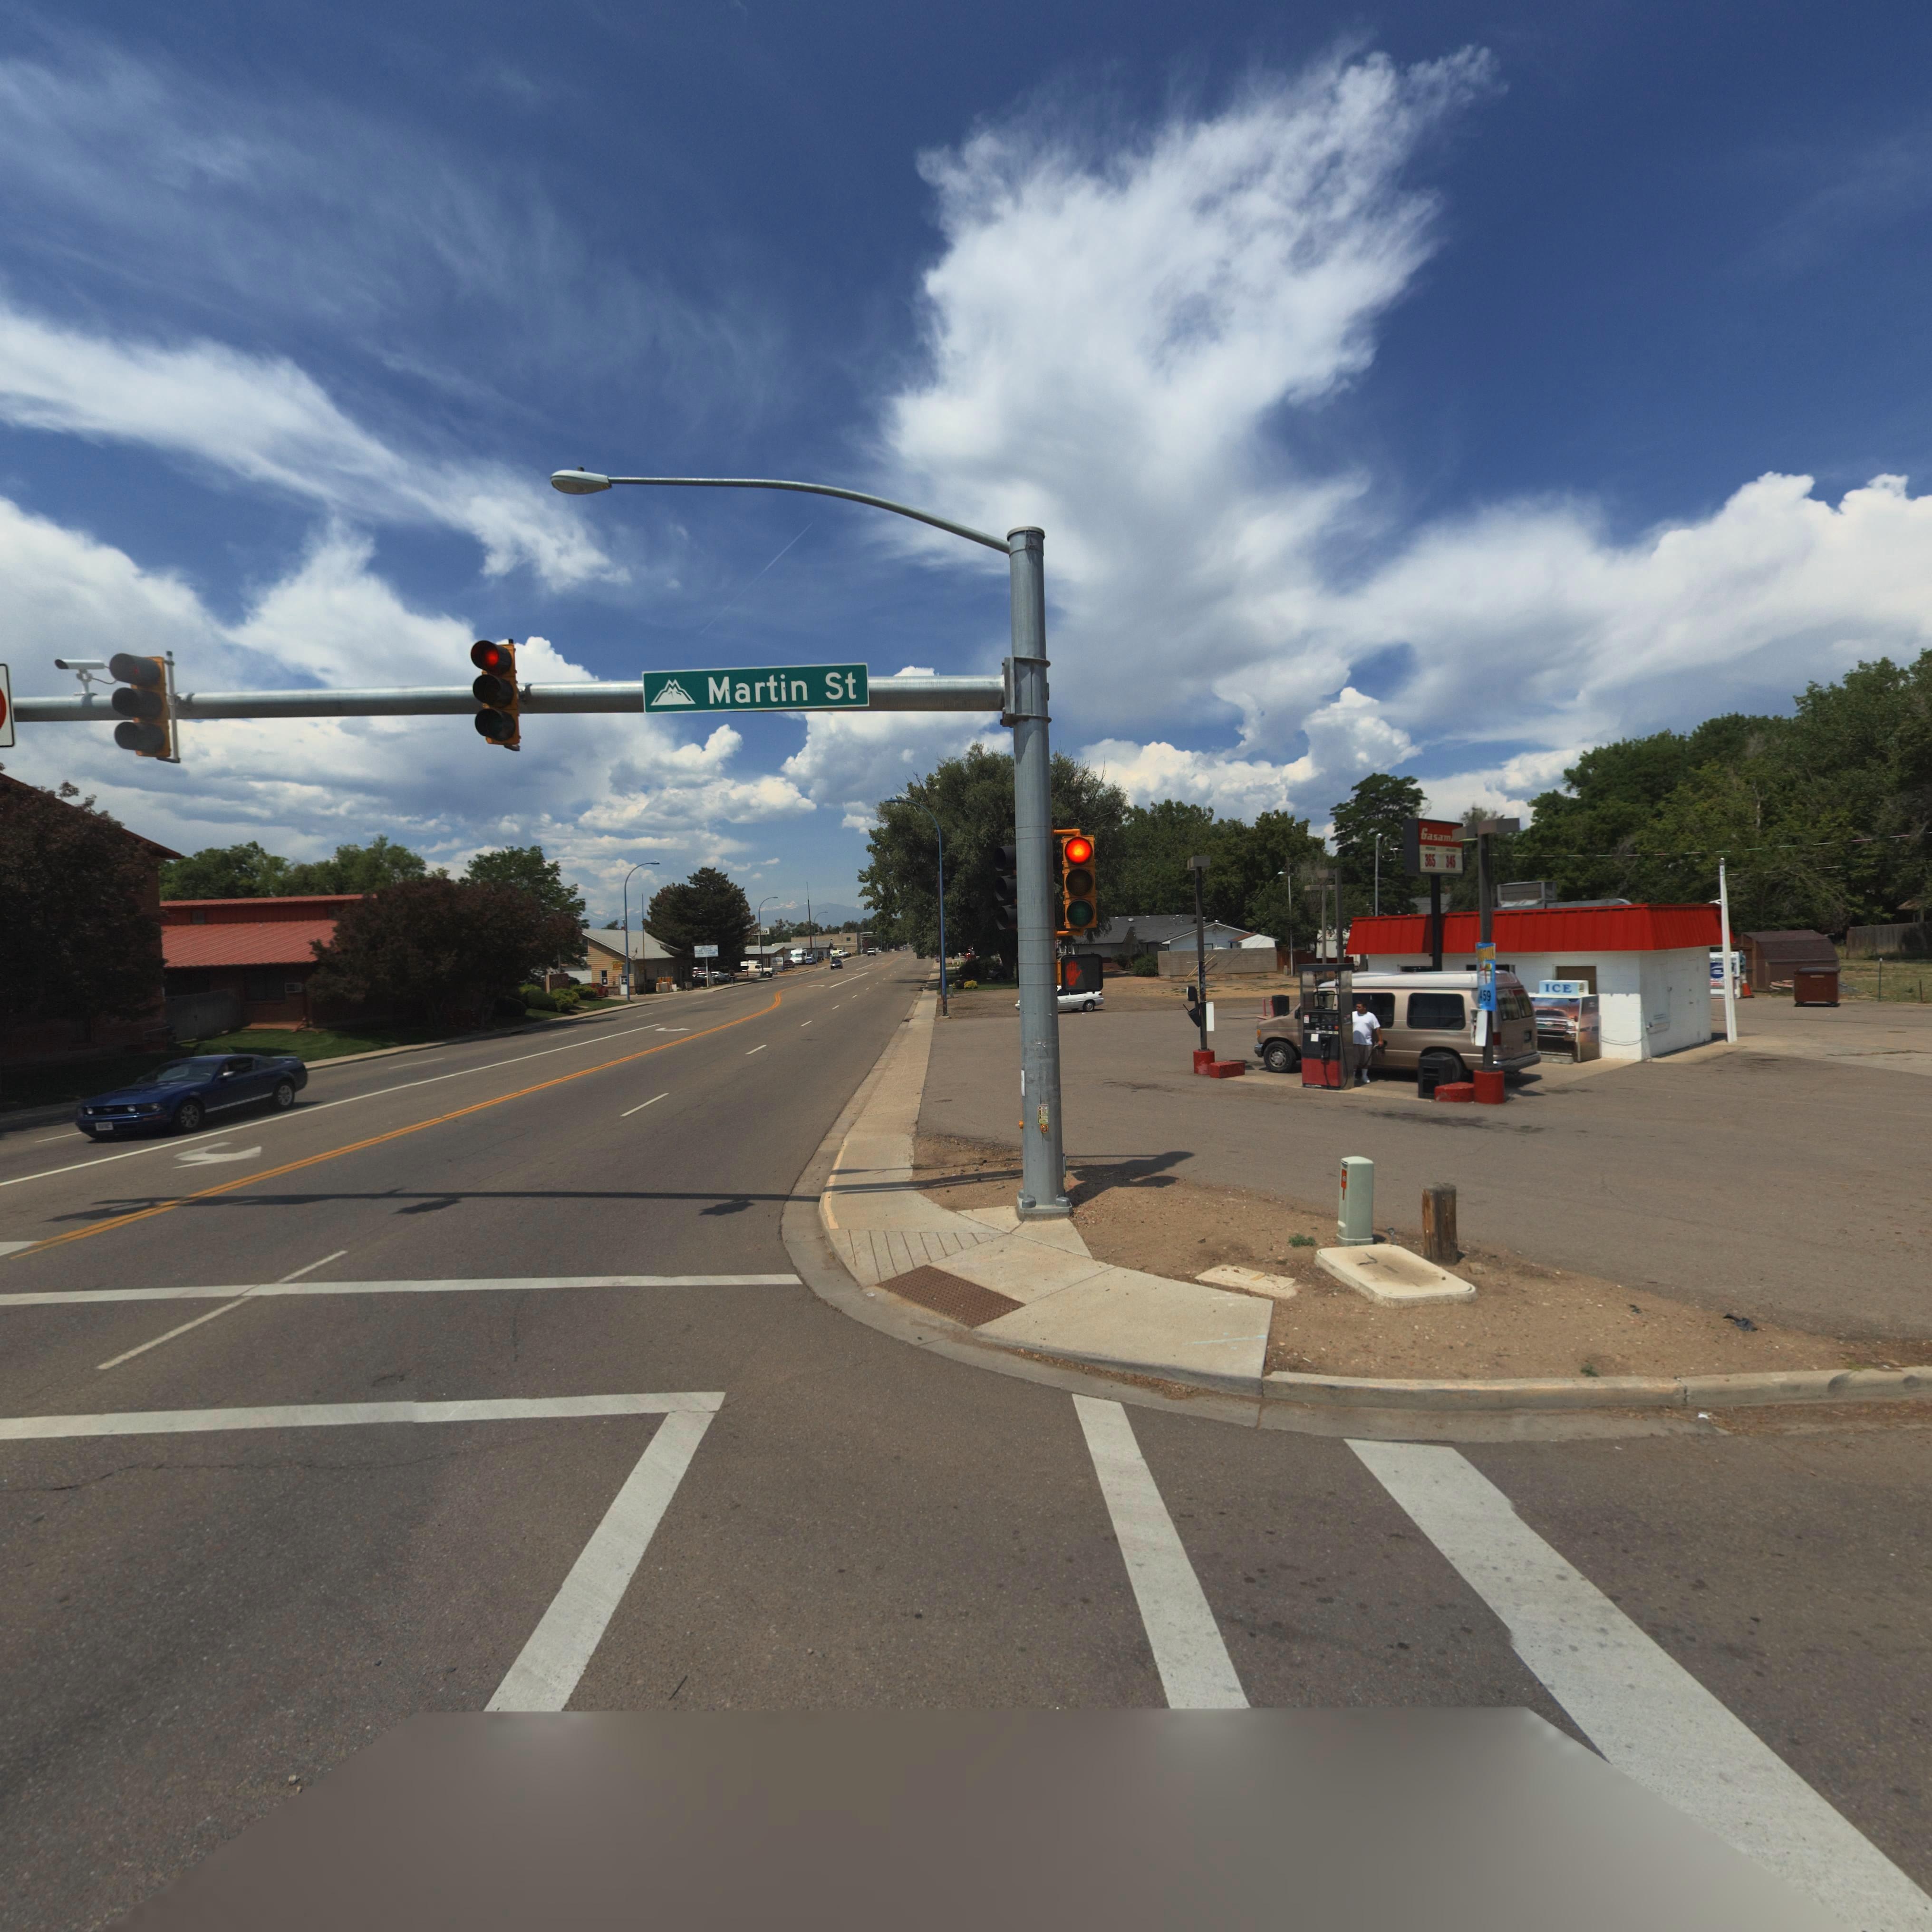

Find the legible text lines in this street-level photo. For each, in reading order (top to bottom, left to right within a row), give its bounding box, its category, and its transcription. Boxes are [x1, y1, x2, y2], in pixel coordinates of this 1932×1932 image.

[707, 671, 857, 704] StreetName: Martin St
[1420, 827, 1451, 842] BusinessName: Gasam
[550, 976, 568, 987] BusinessName: CANNERY